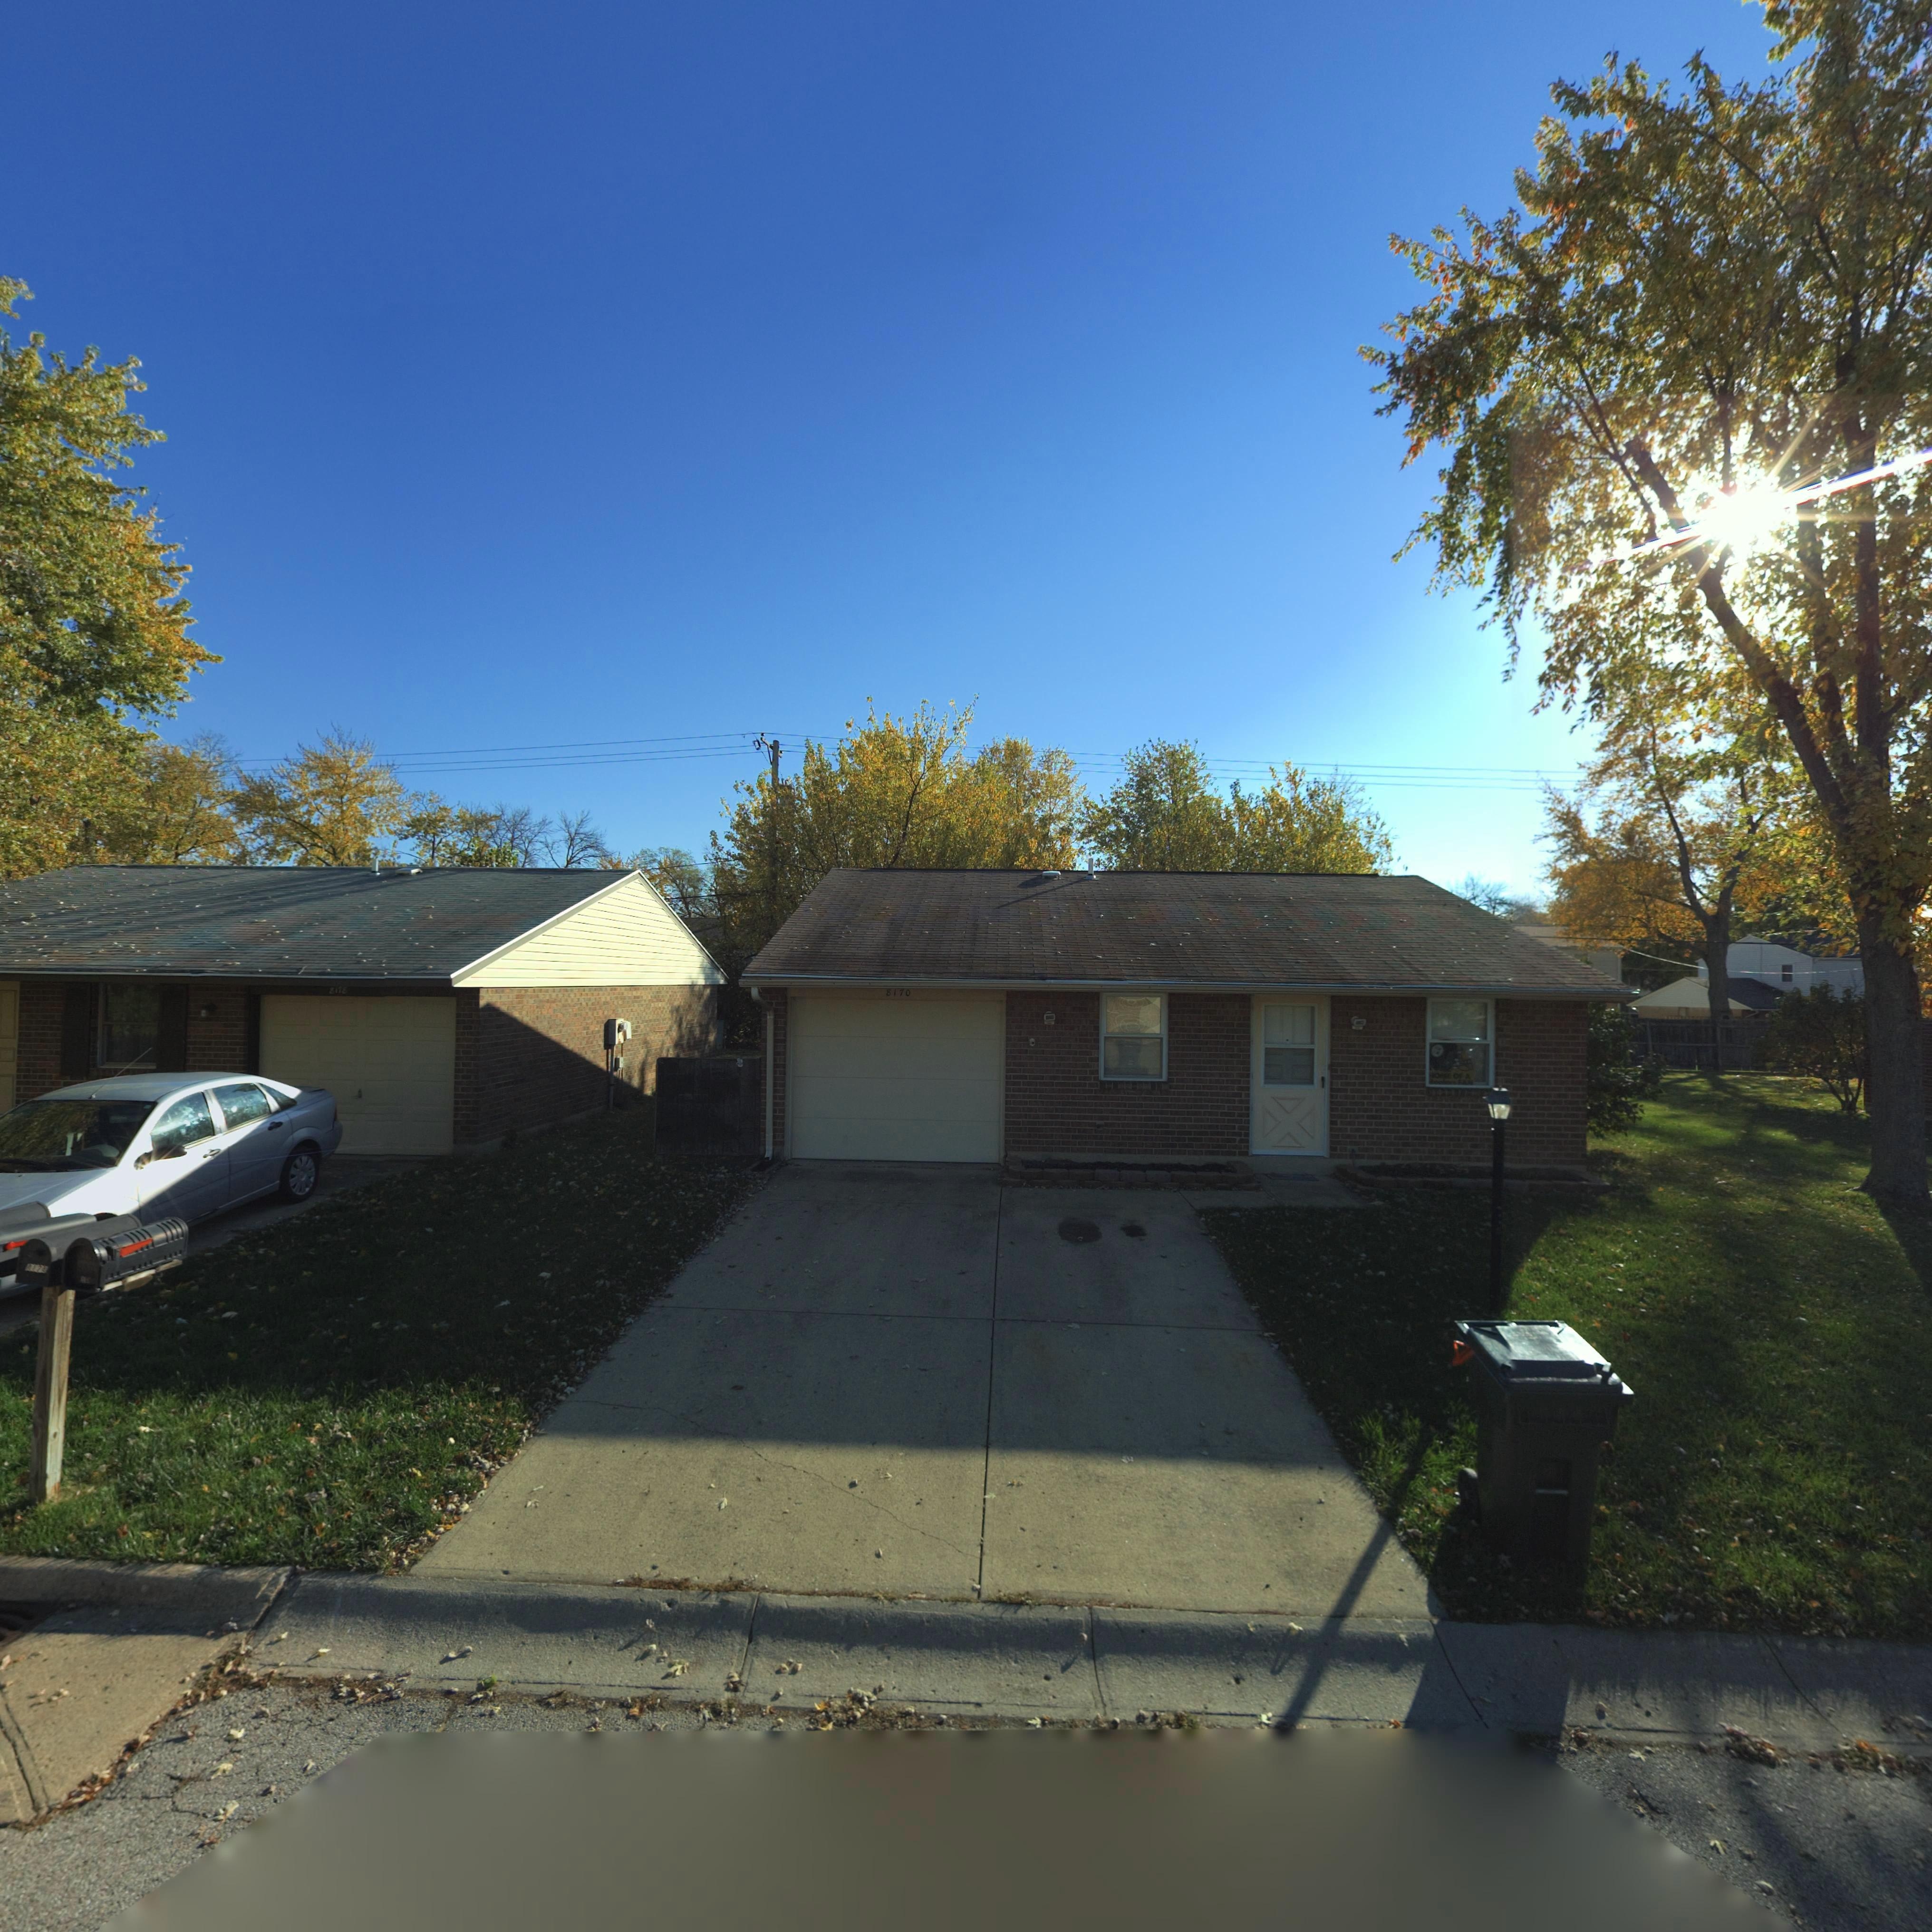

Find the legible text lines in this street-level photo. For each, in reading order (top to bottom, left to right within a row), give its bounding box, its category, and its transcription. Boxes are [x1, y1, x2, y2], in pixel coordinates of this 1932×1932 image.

[328, 985, 349, 995] StreetNumber: 8175
[885, 988, 912, 997] StreetNumber: 8170
[24, 1263, 48, 1274] StreetNumber: **7*